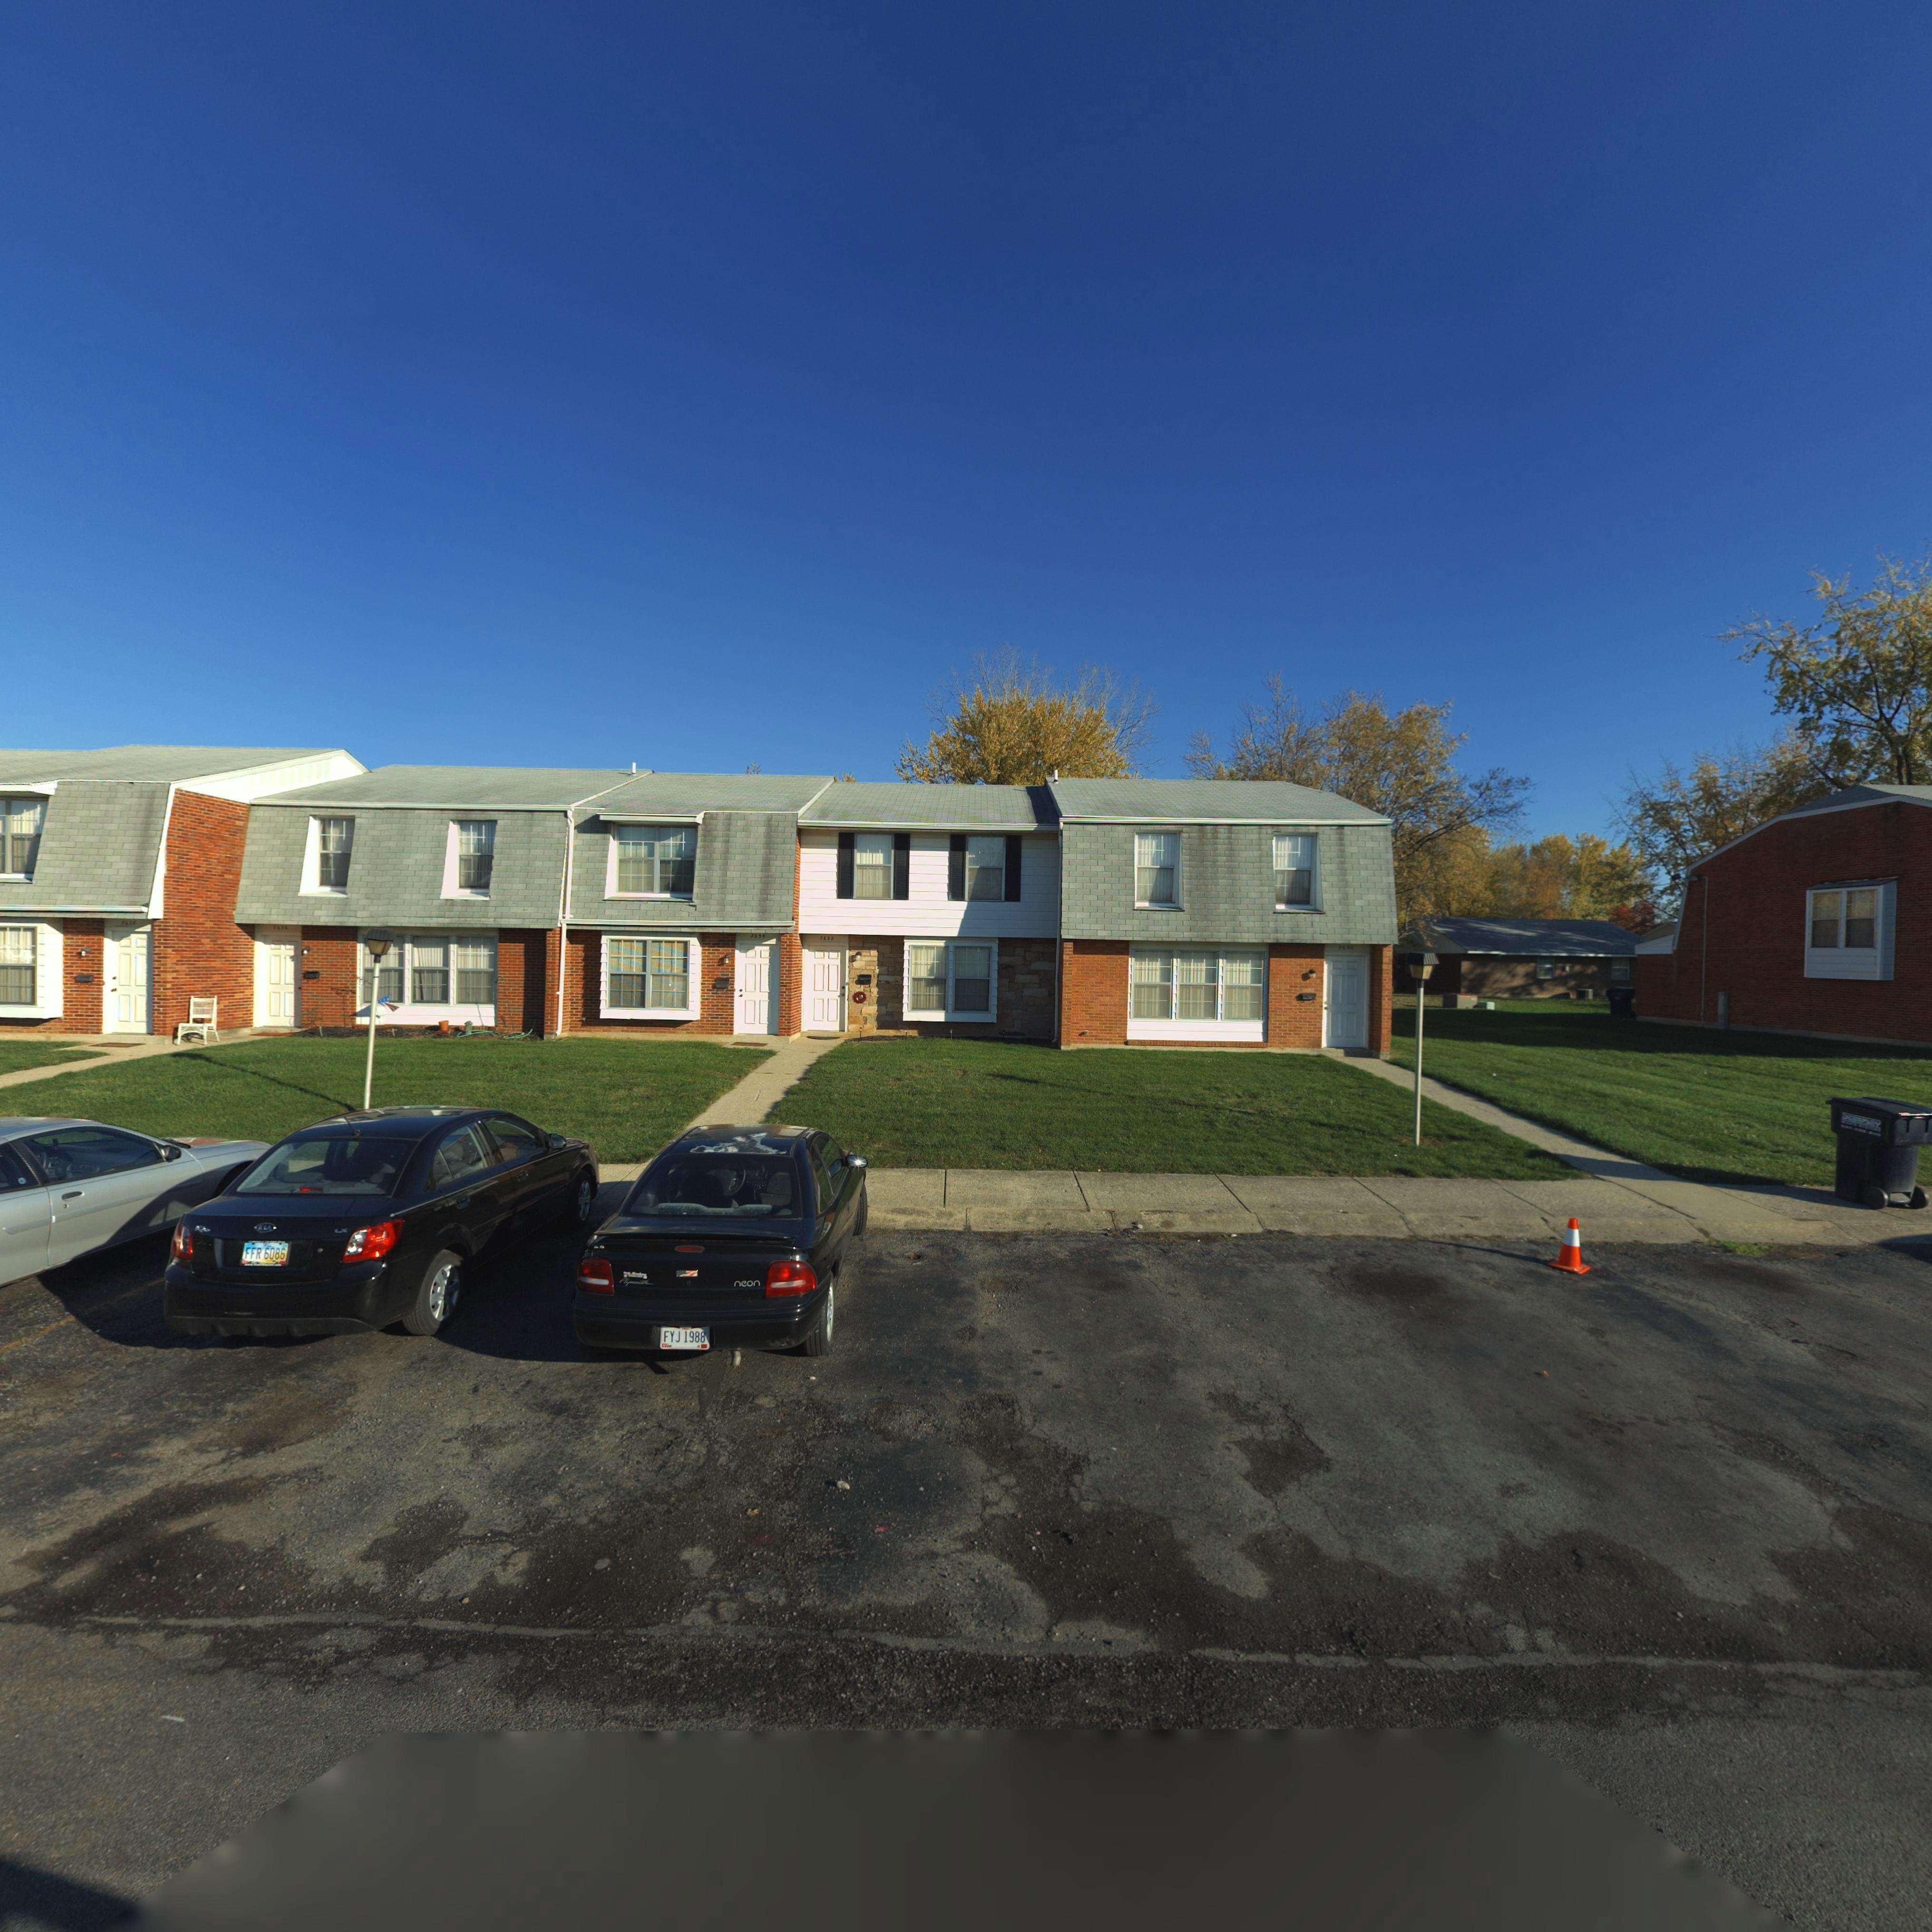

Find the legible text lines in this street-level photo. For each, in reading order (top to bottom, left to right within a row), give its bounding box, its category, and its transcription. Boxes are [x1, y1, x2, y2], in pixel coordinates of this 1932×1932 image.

[120, 919, 137, 926] StreetNumber: 7636
[272, 924, 289, 930] StreetNumber: 7636
[750, 933, 766, 939] StreetNumber: 7634
[820, 936, 834, 941] StreetNumber: 7632
[1338, 945, 1354, 951] StreetNumber: 7630